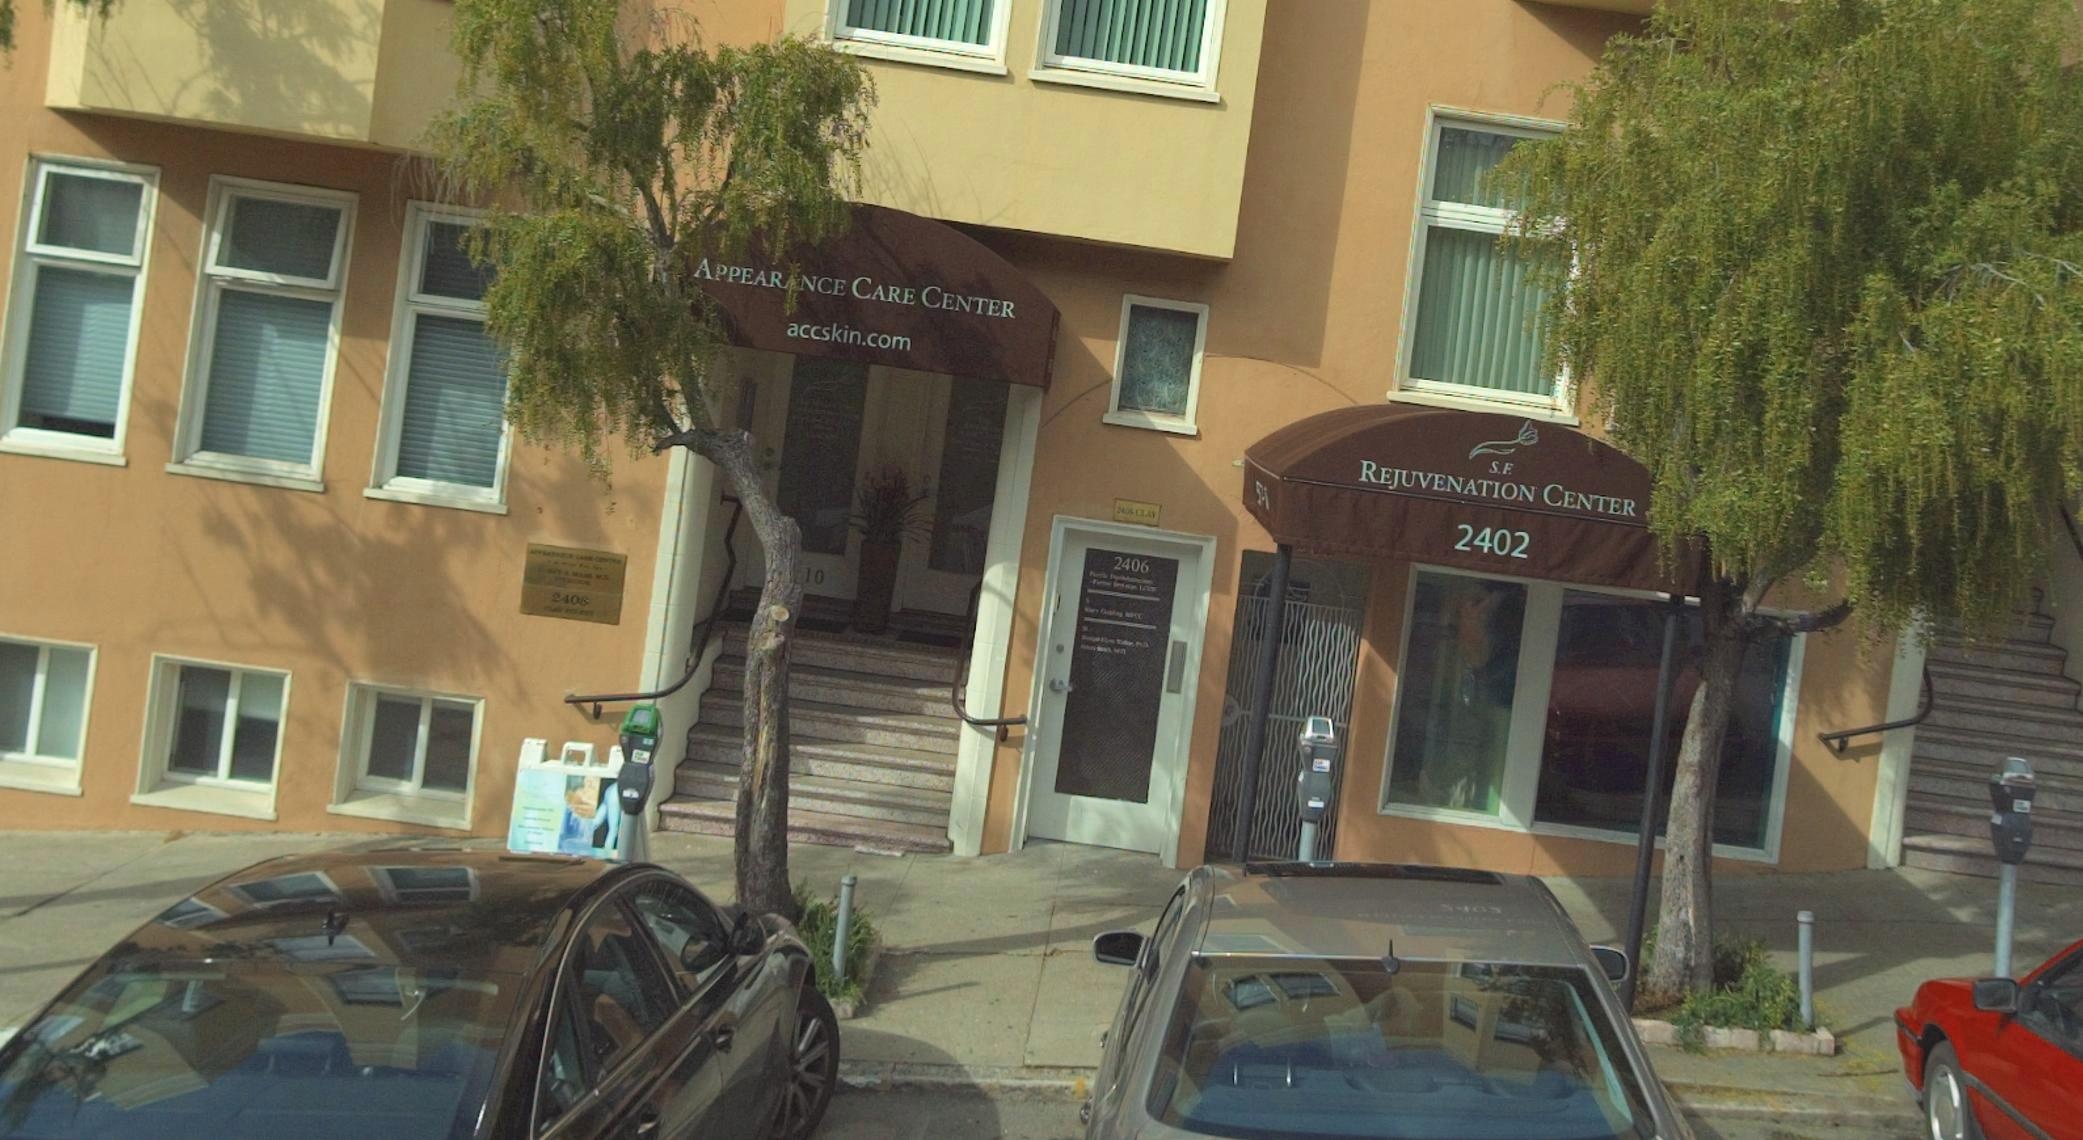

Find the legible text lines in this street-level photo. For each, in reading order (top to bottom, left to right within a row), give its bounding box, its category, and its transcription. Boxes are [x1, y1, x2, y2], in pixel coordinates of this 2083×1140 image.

[691, 256, 1016, 320] BusinessName: APPEAR*NCE CARE CENTER
[785, 321, 912, 353] None: accskin.com
[1487, 458, 1516, 478] BusinessName: S.F.
[1356, 457, 1637, 518] BusinessName: REJUNENATION CENTER
[1134, 505, 1158, 520] StreetName: CLAY
[1452, 521, 1531, 560] StreetNumber: 2402
[804, 564, 826, 586] StreetNumber: 10
[1111, 554, 1153, 576] StreetNumber: 2406
[549, 590, 592, 610] StreetNumber: 2408